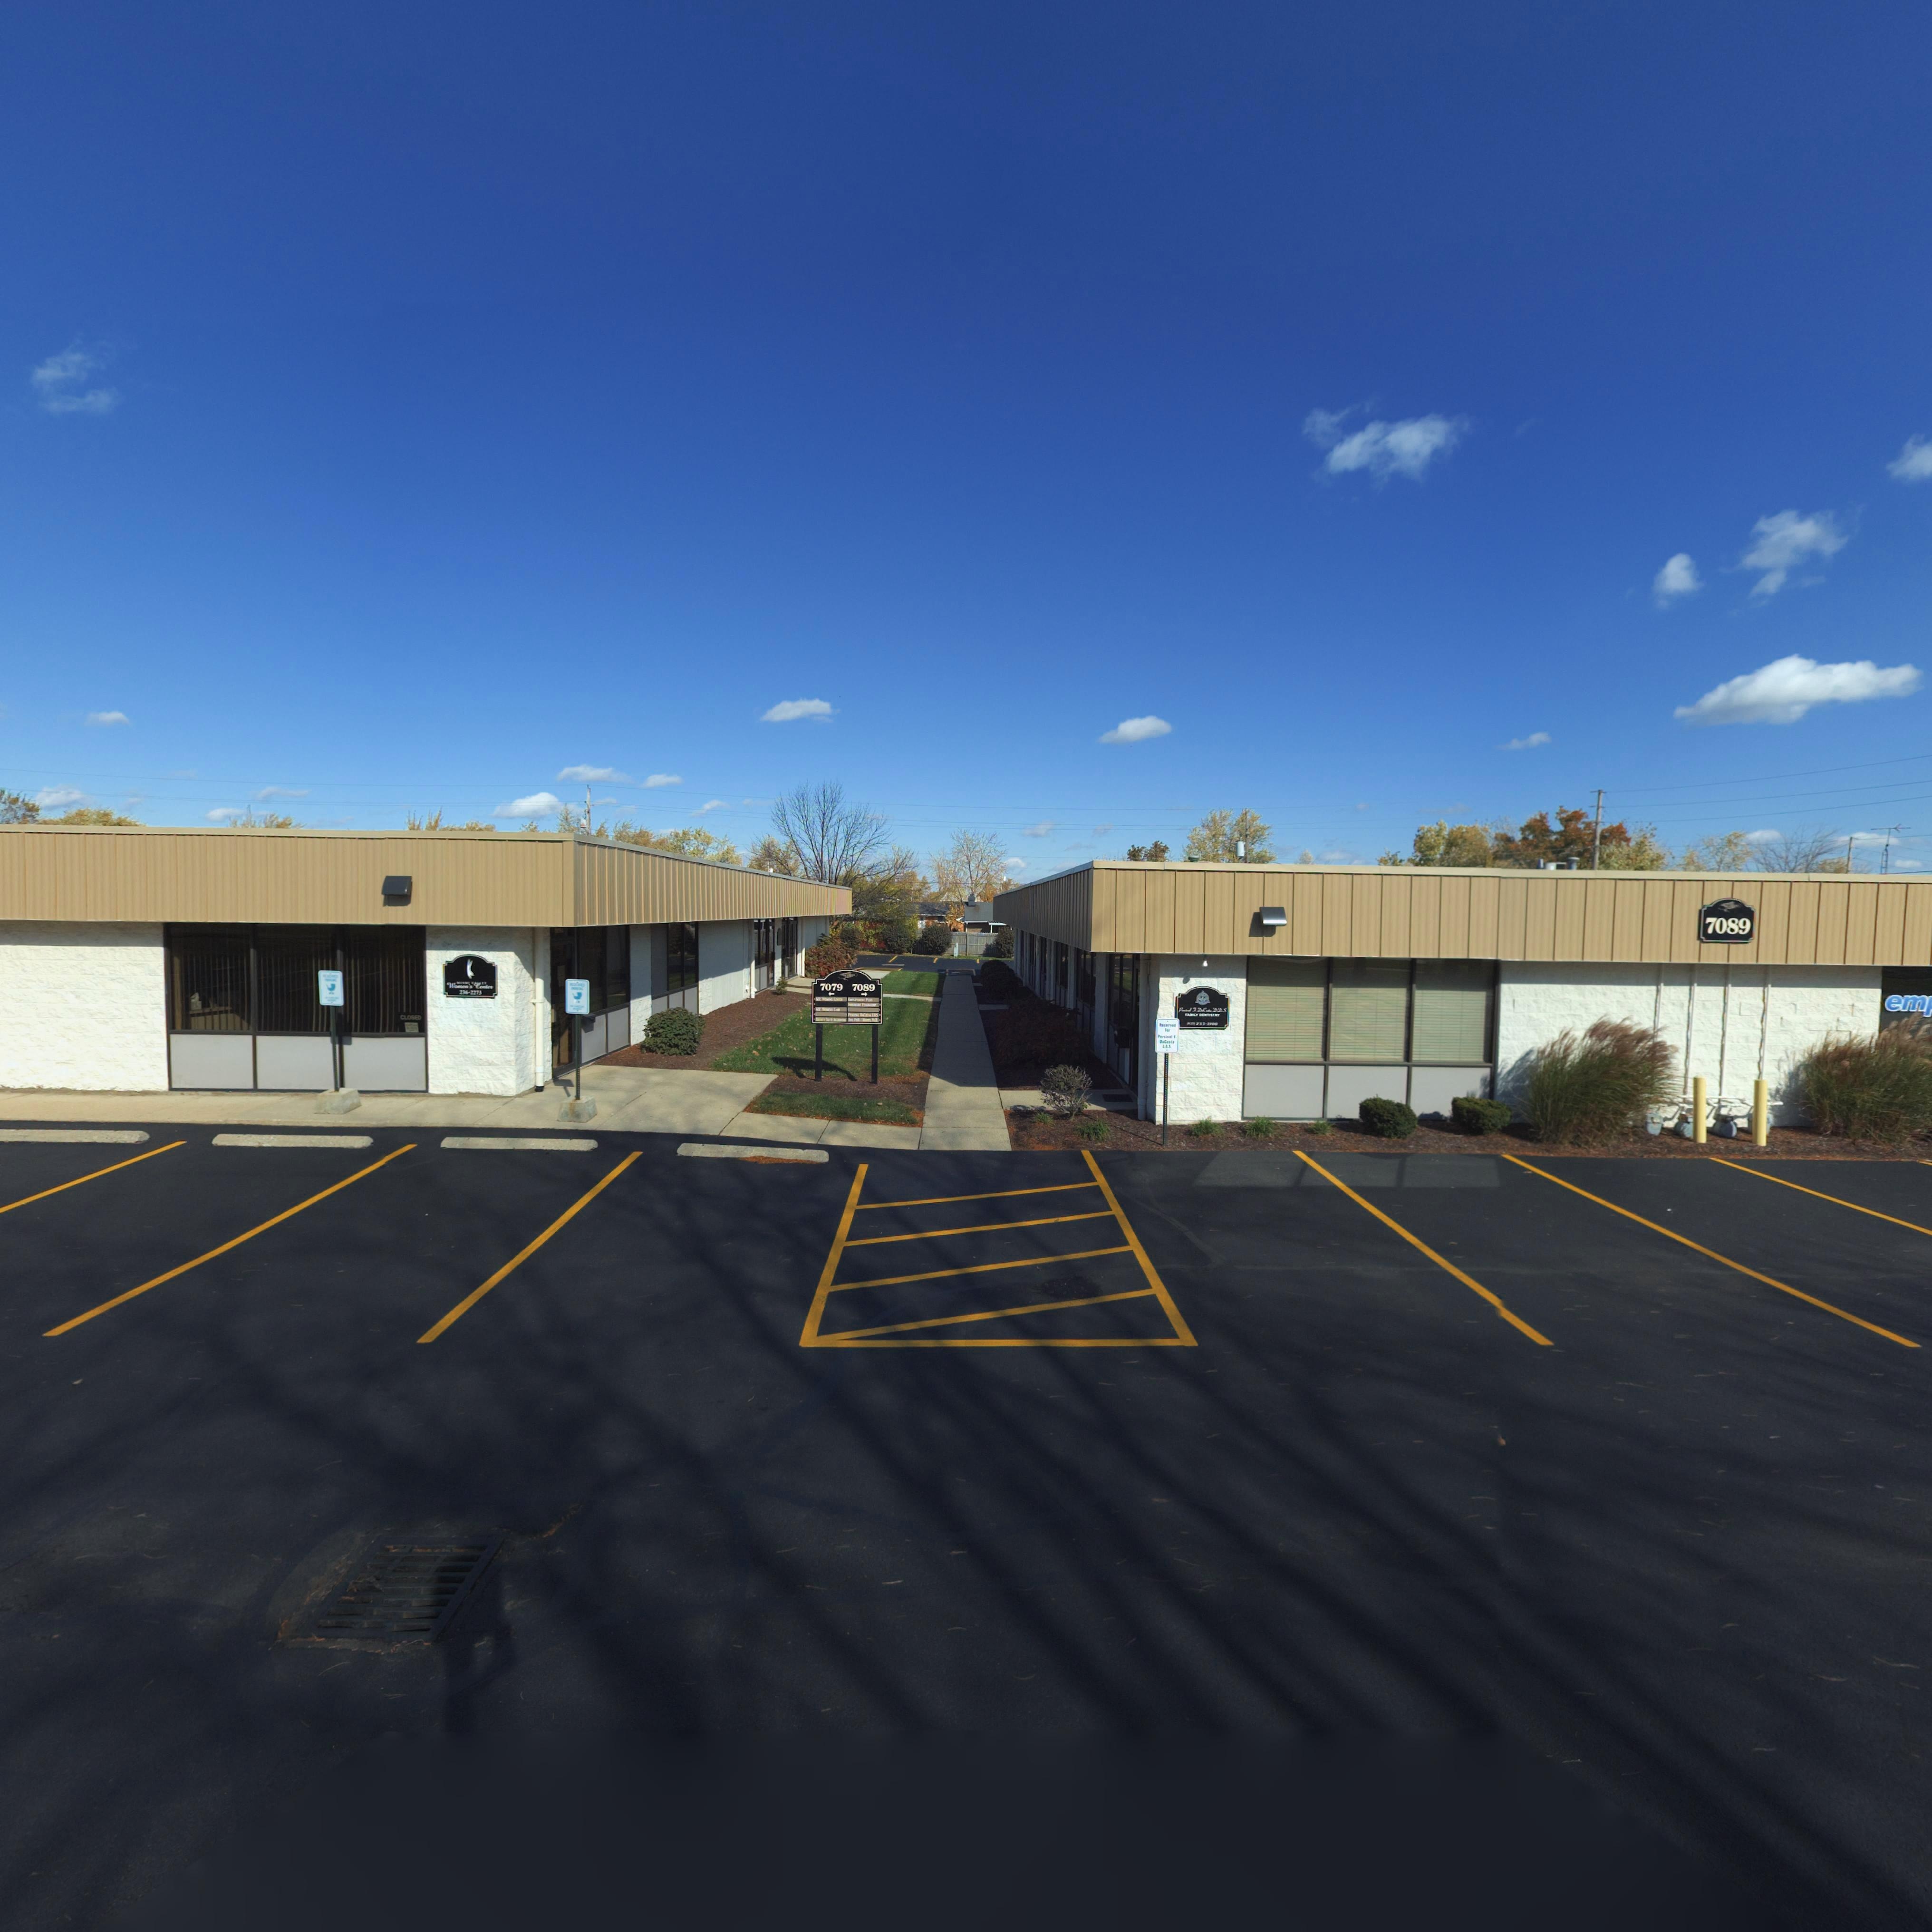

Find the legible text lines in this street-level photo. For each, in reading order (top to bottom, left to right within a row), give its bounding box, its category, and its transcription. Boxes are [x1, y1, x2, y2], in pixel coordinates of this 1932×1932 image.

[1704, 916, 1753, 937] StreetNumber: 7089
[819, 982, 845, 993] StreetNumber: 7079
[851, 983, 877, 993] StreetNumber: 7089